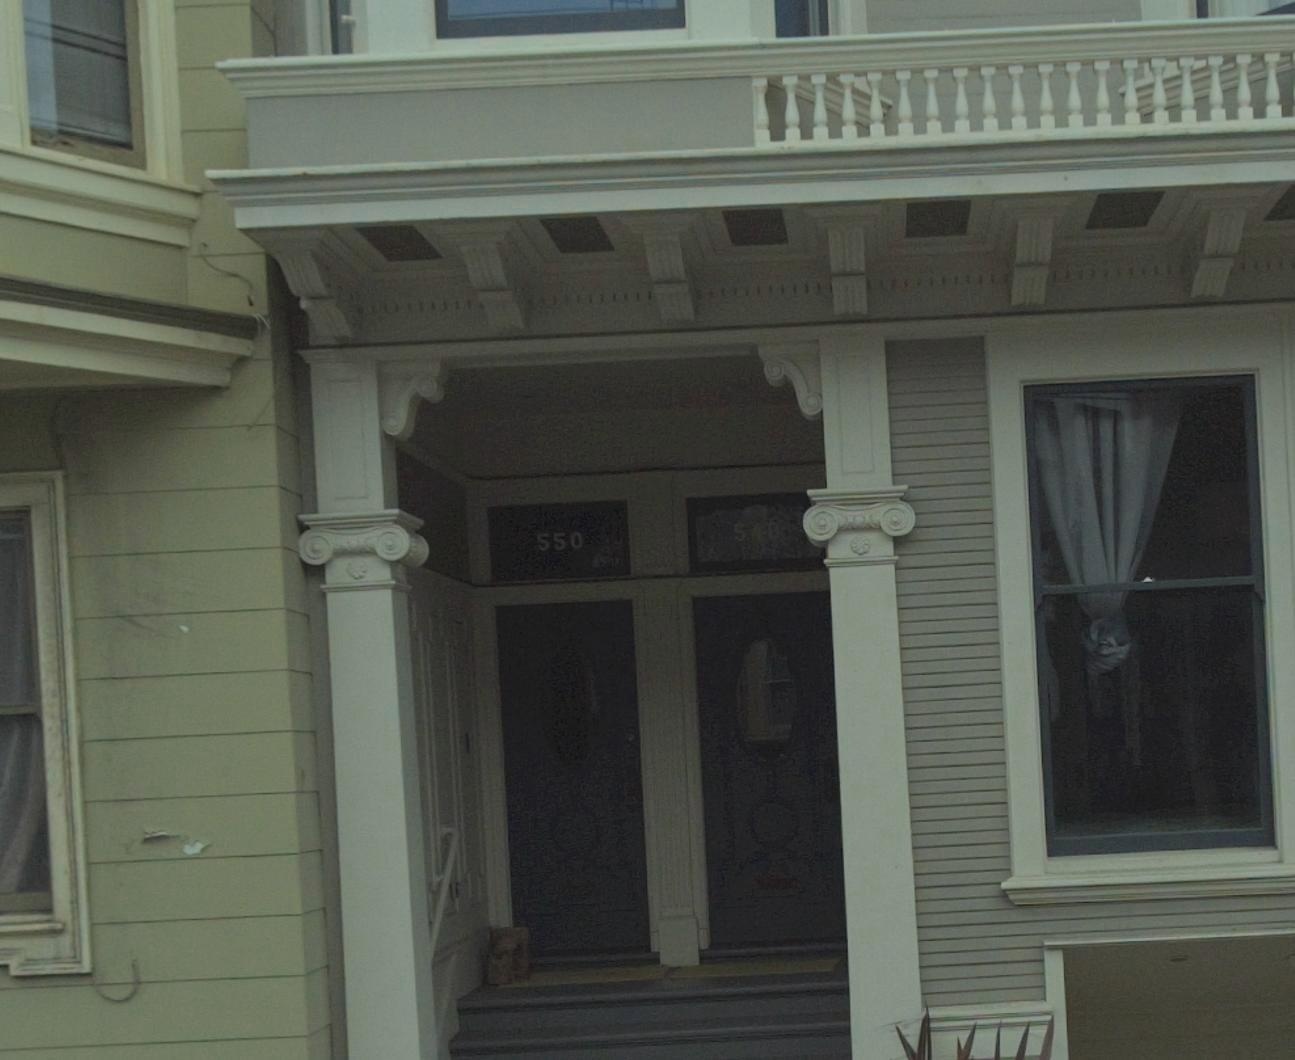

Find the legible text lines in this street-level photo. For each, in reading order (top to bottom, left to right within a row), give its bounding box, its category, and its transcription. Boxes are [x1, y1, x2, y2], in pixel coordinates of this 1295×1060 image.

[535, 530, 586, 553] StreetNumber: 550
[732, 521, 781, 543] StreetNumber: 548